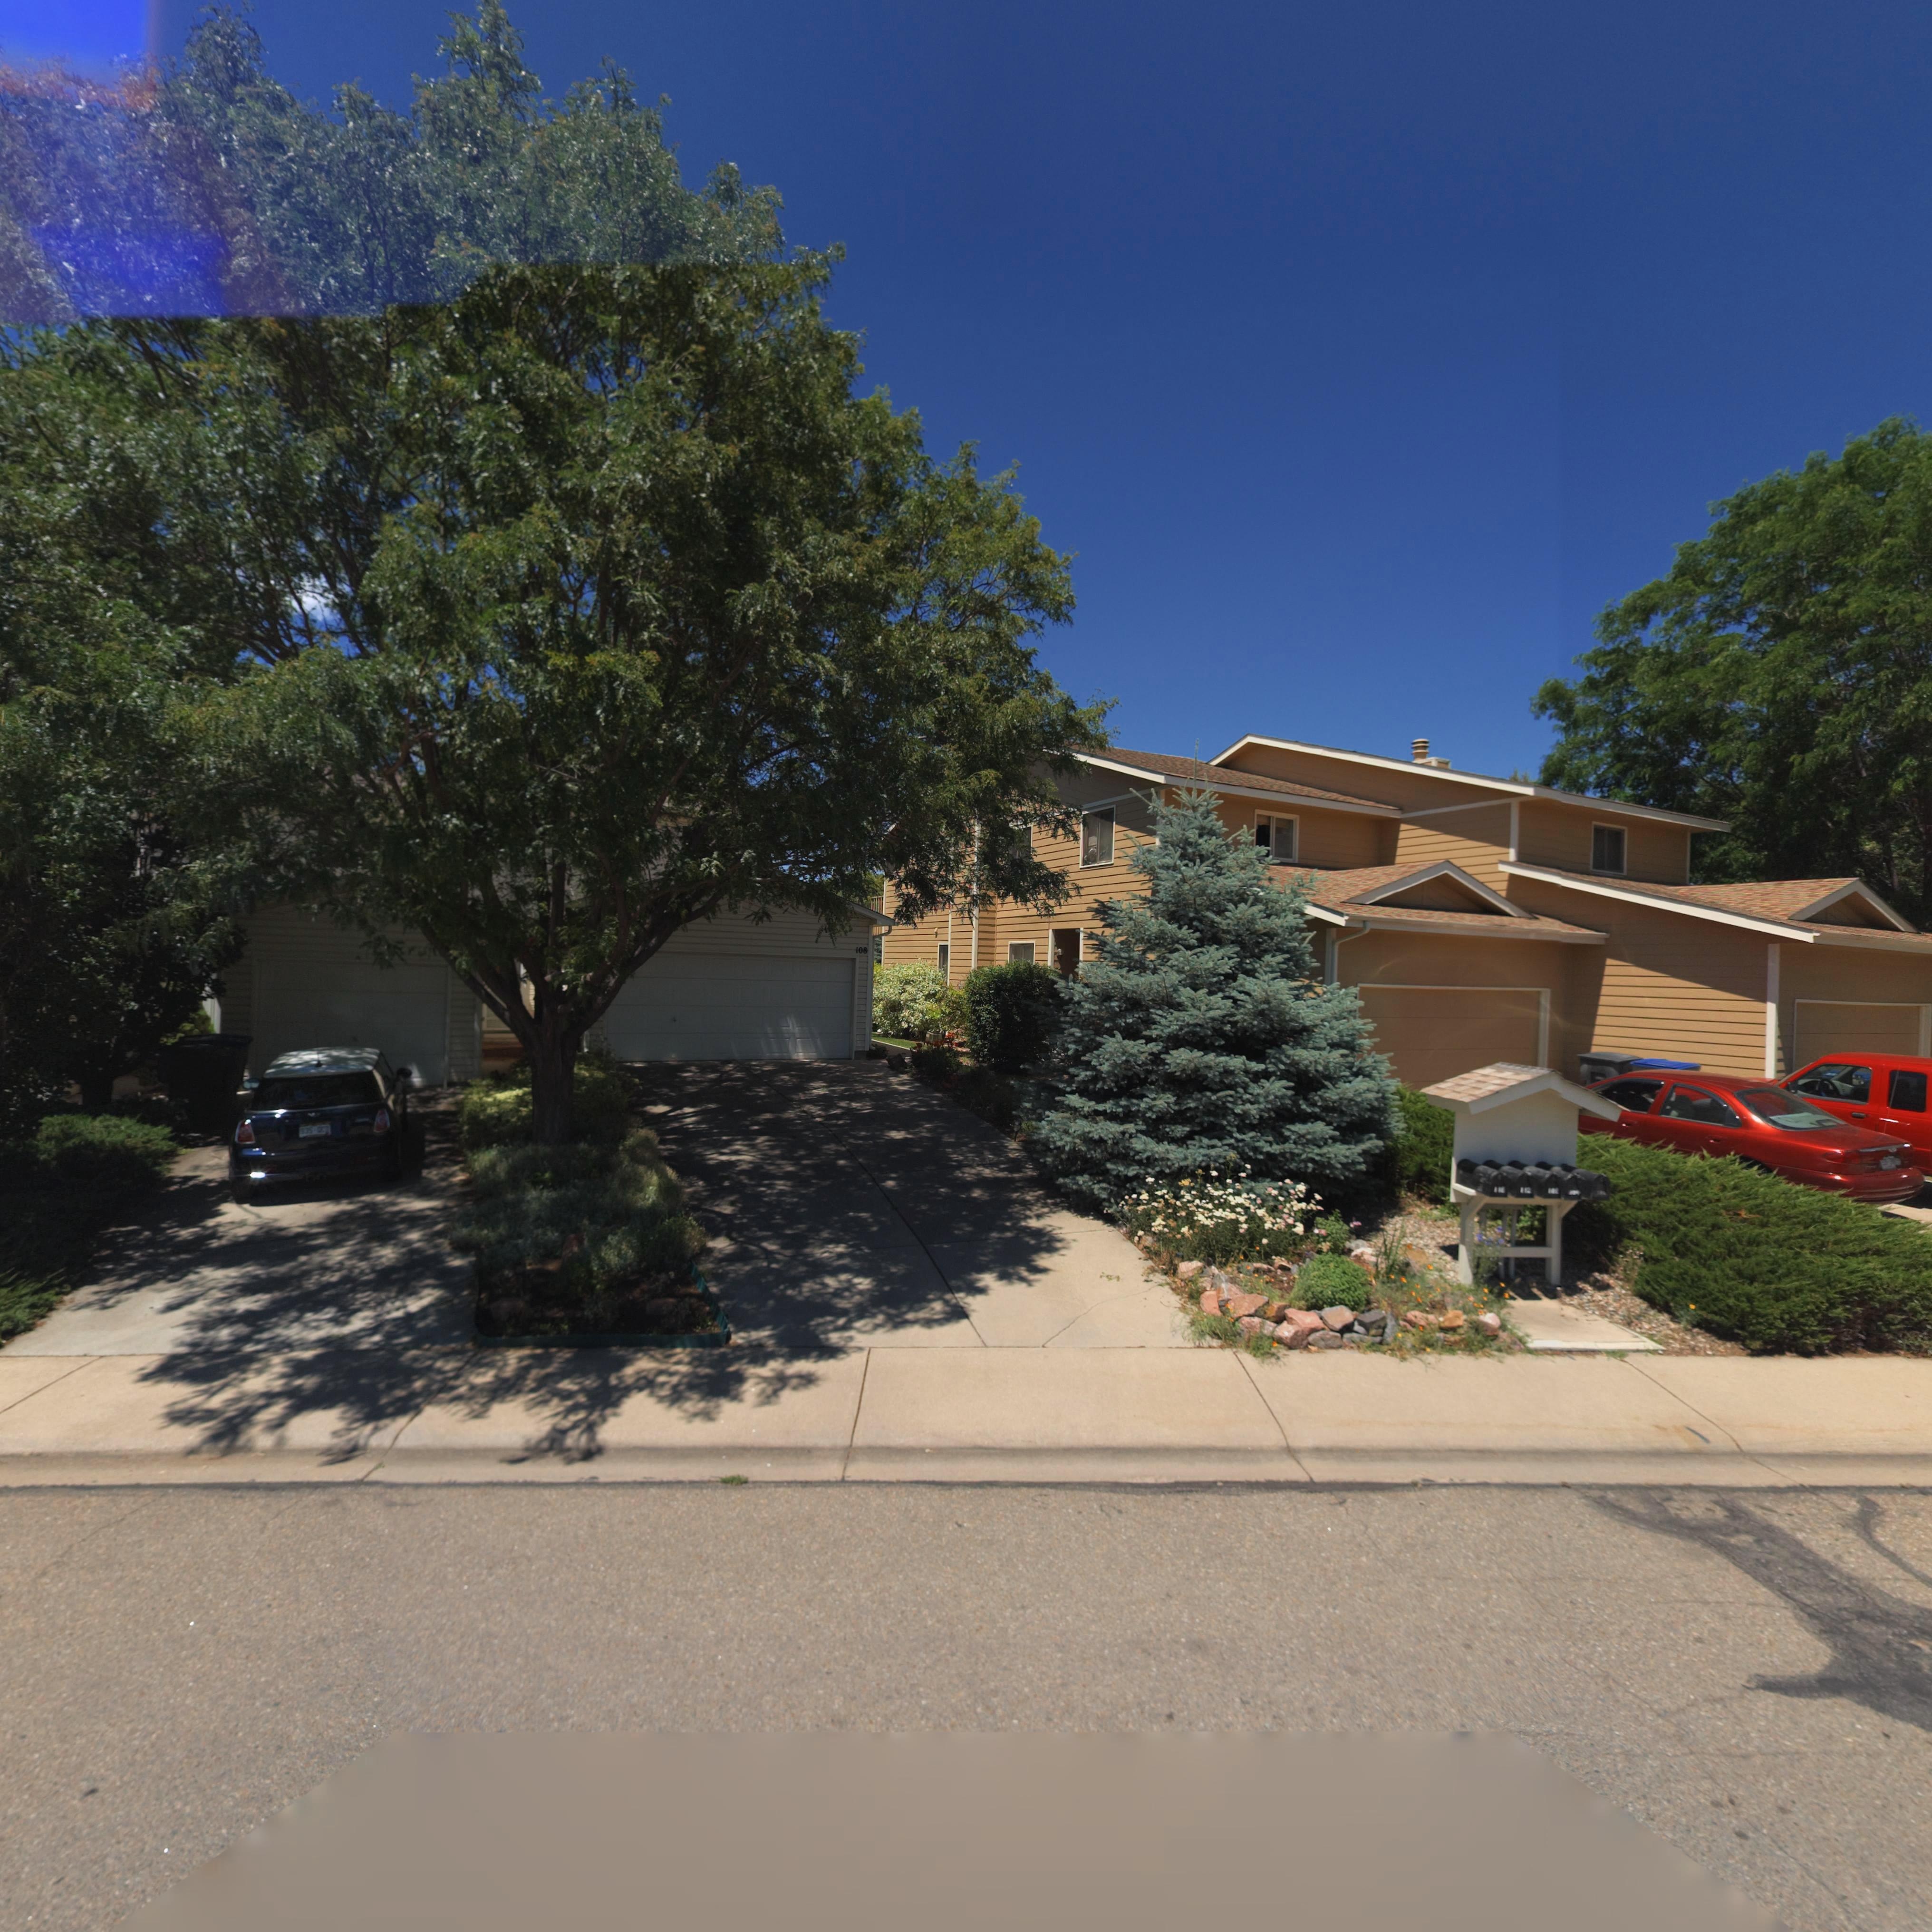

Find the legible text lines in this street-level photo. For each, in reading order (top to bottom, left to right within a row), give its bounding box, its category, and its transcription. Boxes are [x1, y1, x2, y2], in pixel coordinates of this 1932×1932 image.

[855, 946, 868, 954] StreetNumber: 108
[1493, 1186, 1506, 1193] StreetNumber: 116
[1519, 1186, 1531, 1194] StreetNumber: 112
[1547, 1187, 1559, 1194] StreetNumber: 108
[1568, 1189, 1580, 1196] StreetNumber: 10*